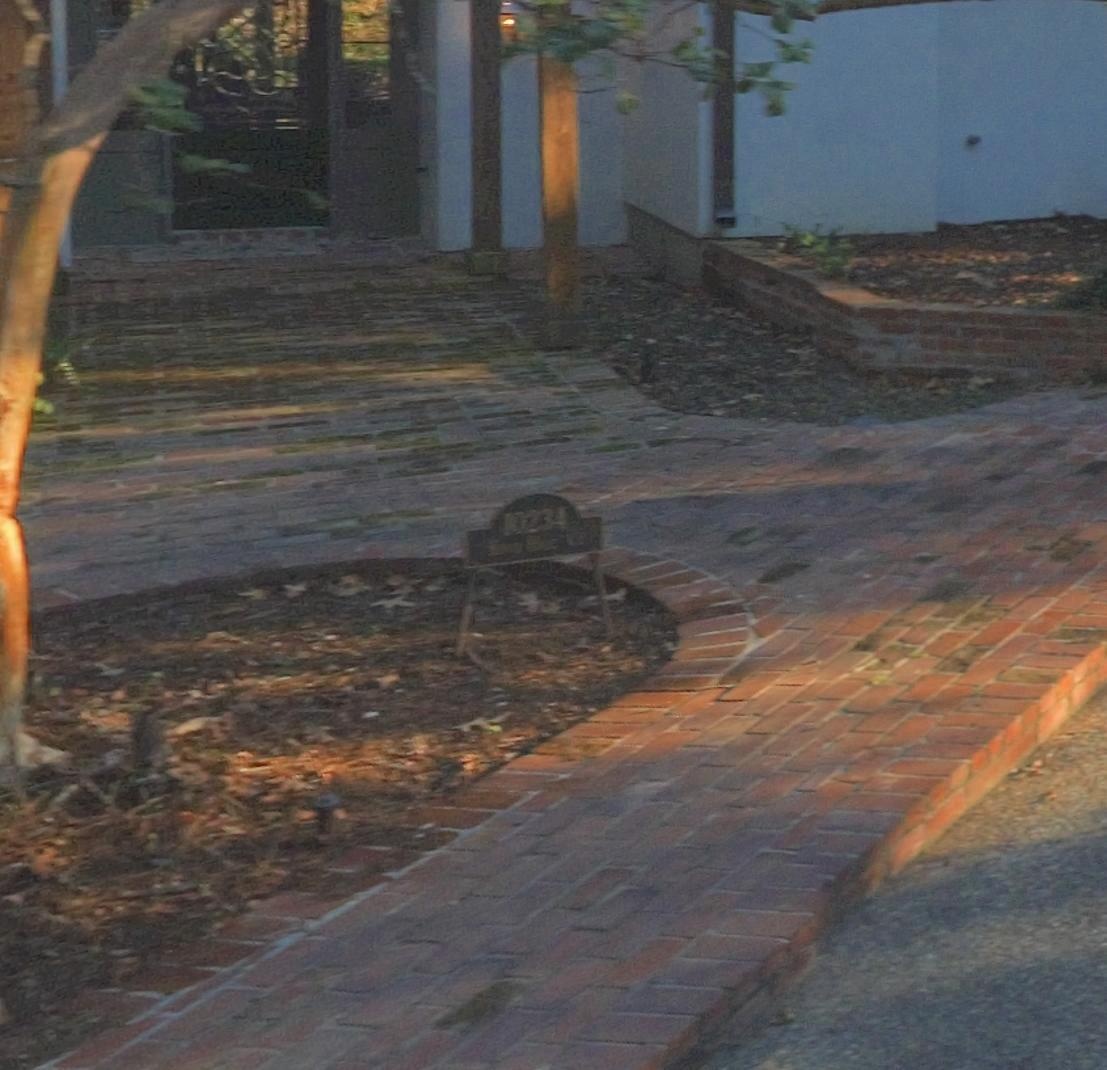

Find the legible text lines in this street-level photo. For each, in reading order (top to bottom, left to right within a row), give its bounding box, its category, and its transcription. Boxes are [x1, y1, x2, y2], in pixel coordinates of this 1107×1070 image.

[500, 505, 569, 538] StreetNumber: 10234